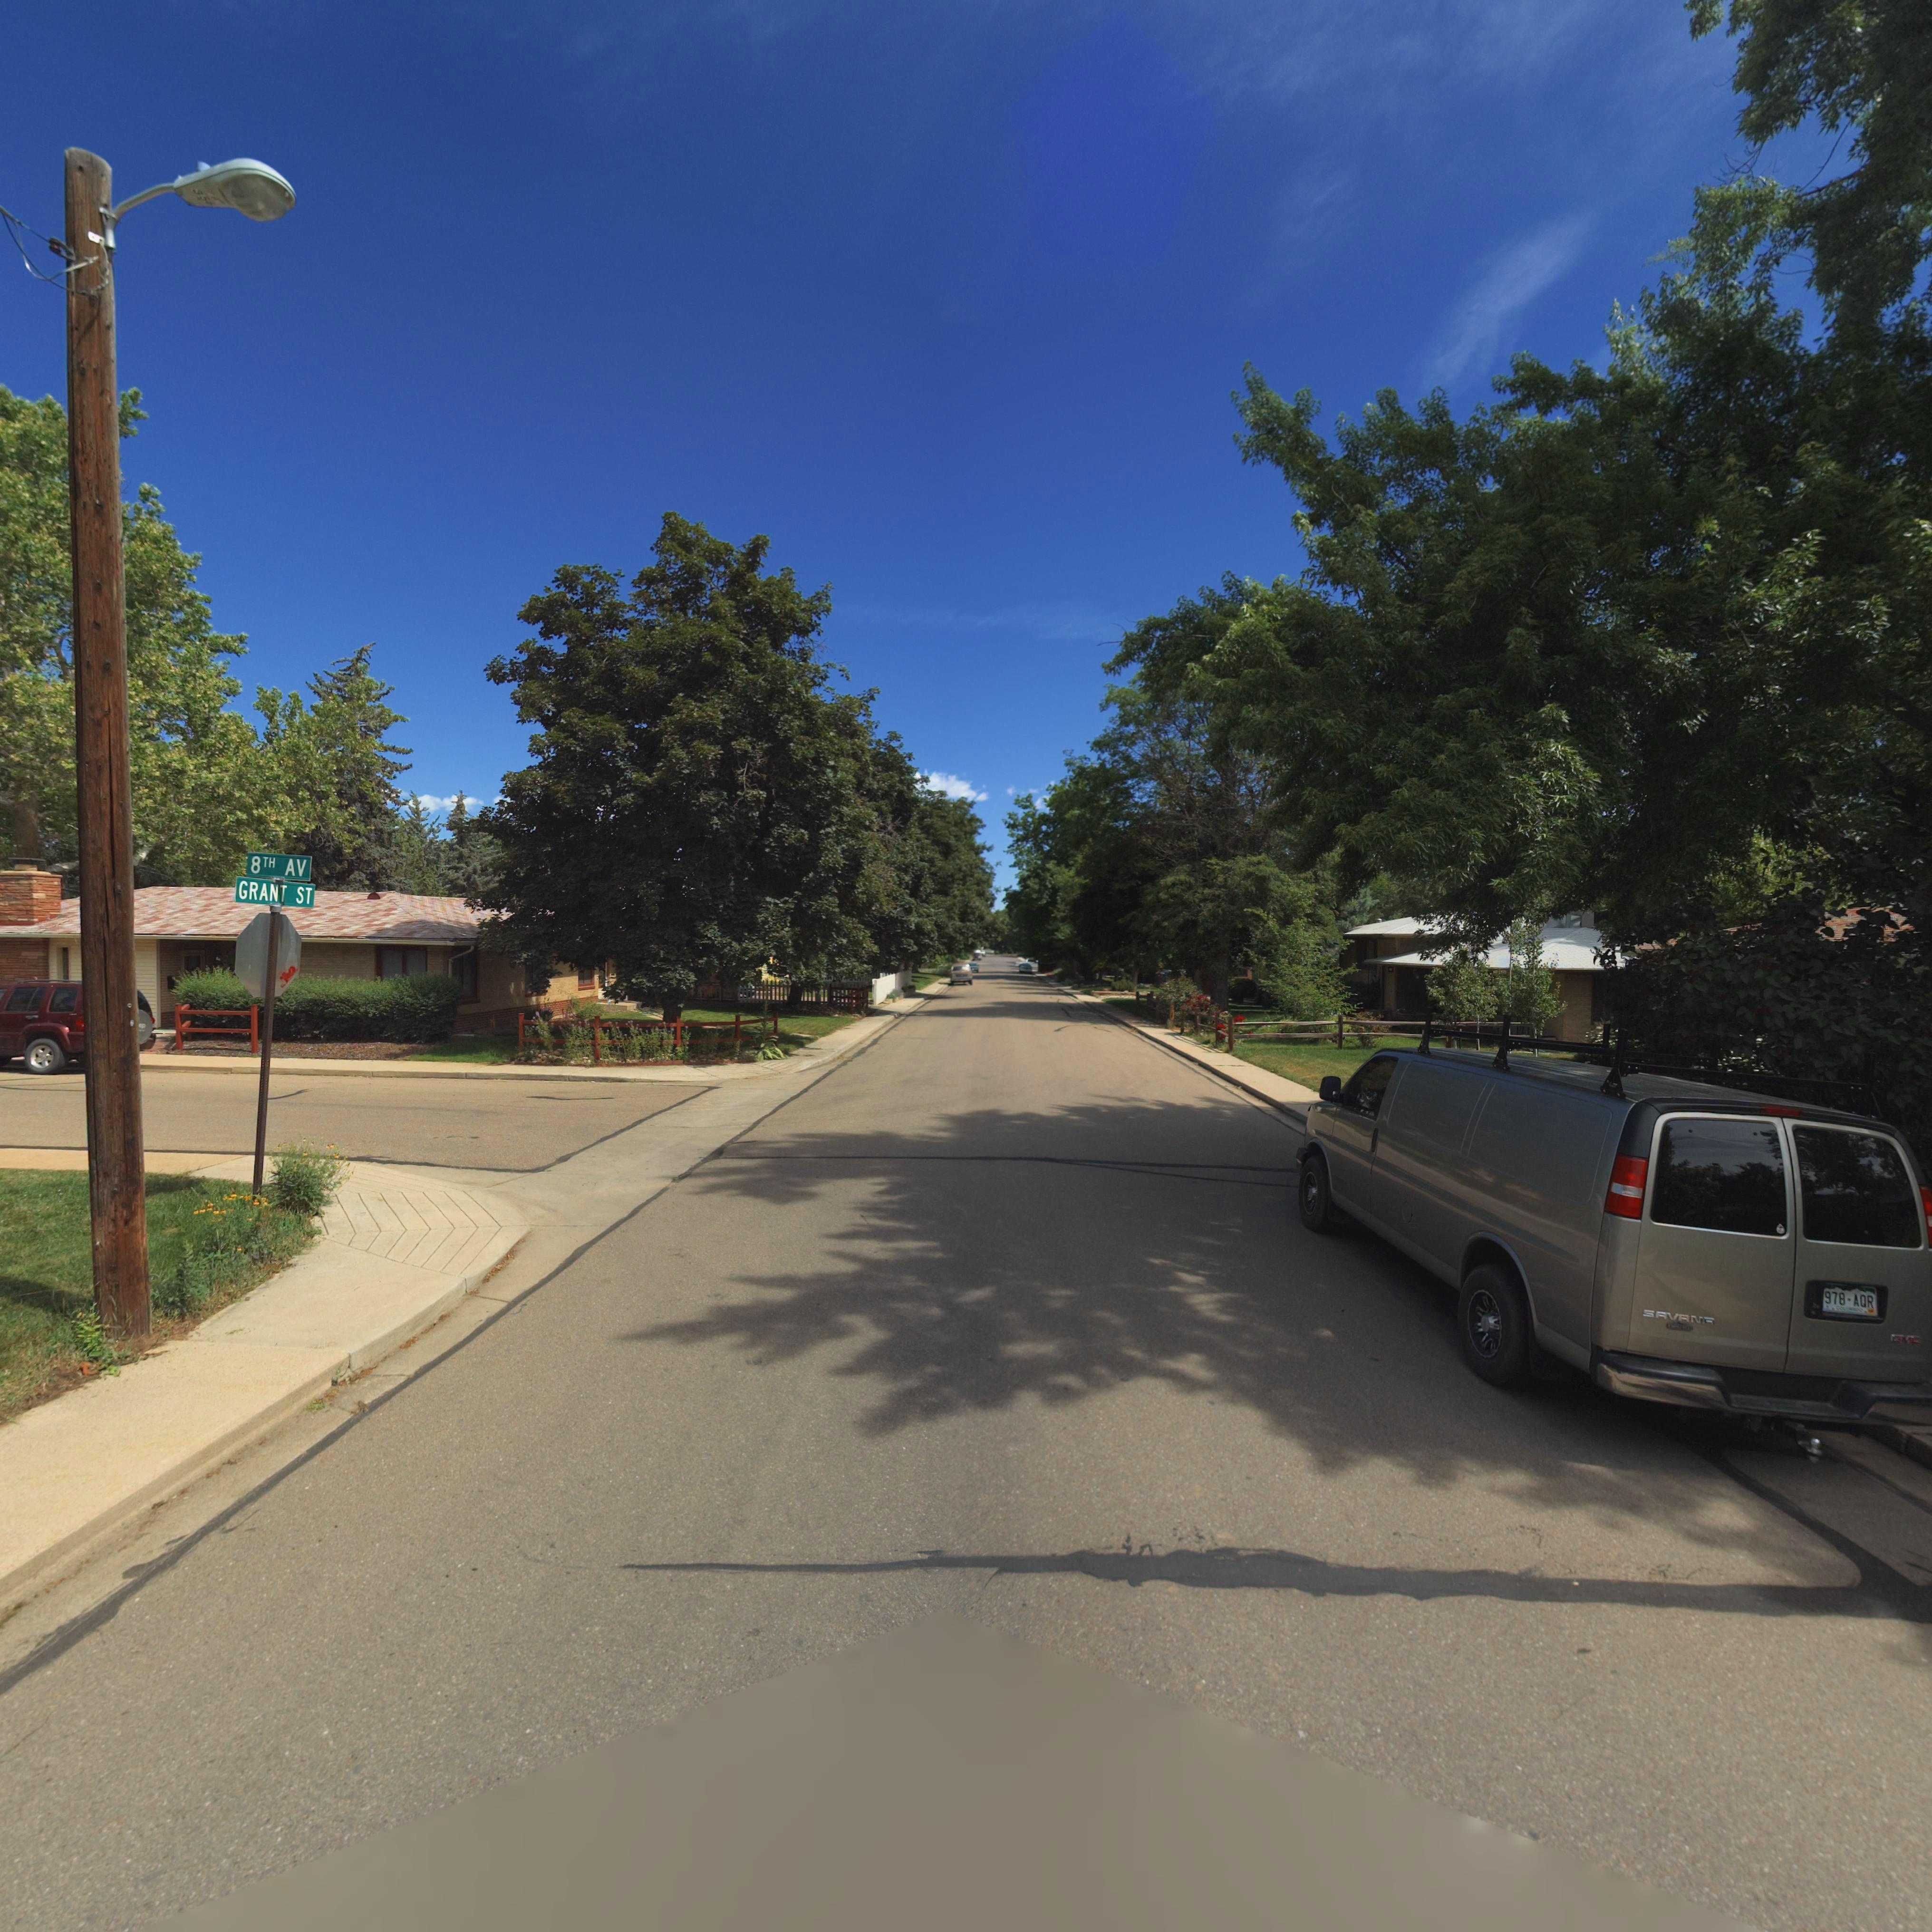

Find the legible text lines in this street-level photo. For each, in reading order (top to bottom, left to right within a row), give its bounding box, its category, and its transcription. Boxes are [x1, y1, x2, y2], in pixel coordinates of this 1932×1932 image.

[248, 855, 308, 878] StreetName: 8TH AV
[237, 879, 315, 905] StreetName: GRANT ST